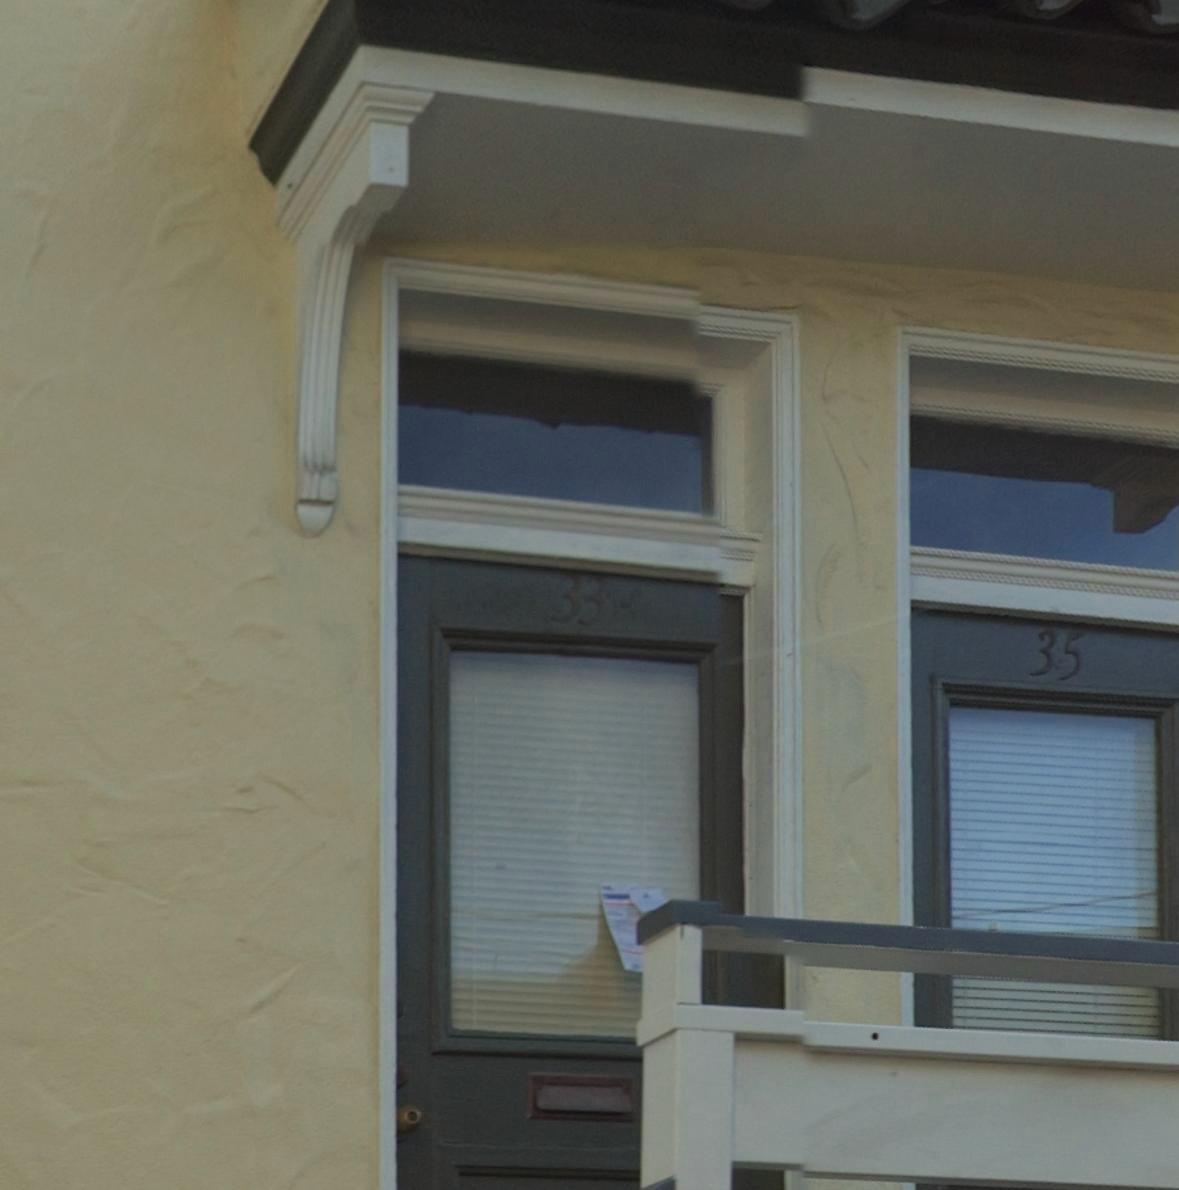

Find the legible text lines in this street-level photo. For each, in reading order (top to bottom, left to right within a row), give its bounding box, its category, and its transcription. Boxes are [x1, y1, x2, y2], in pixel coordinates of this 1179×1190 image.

[544, 567, 610, 630] StreetNumber: 33
[1025, 627, 1088, 683] StreetNumber: 35